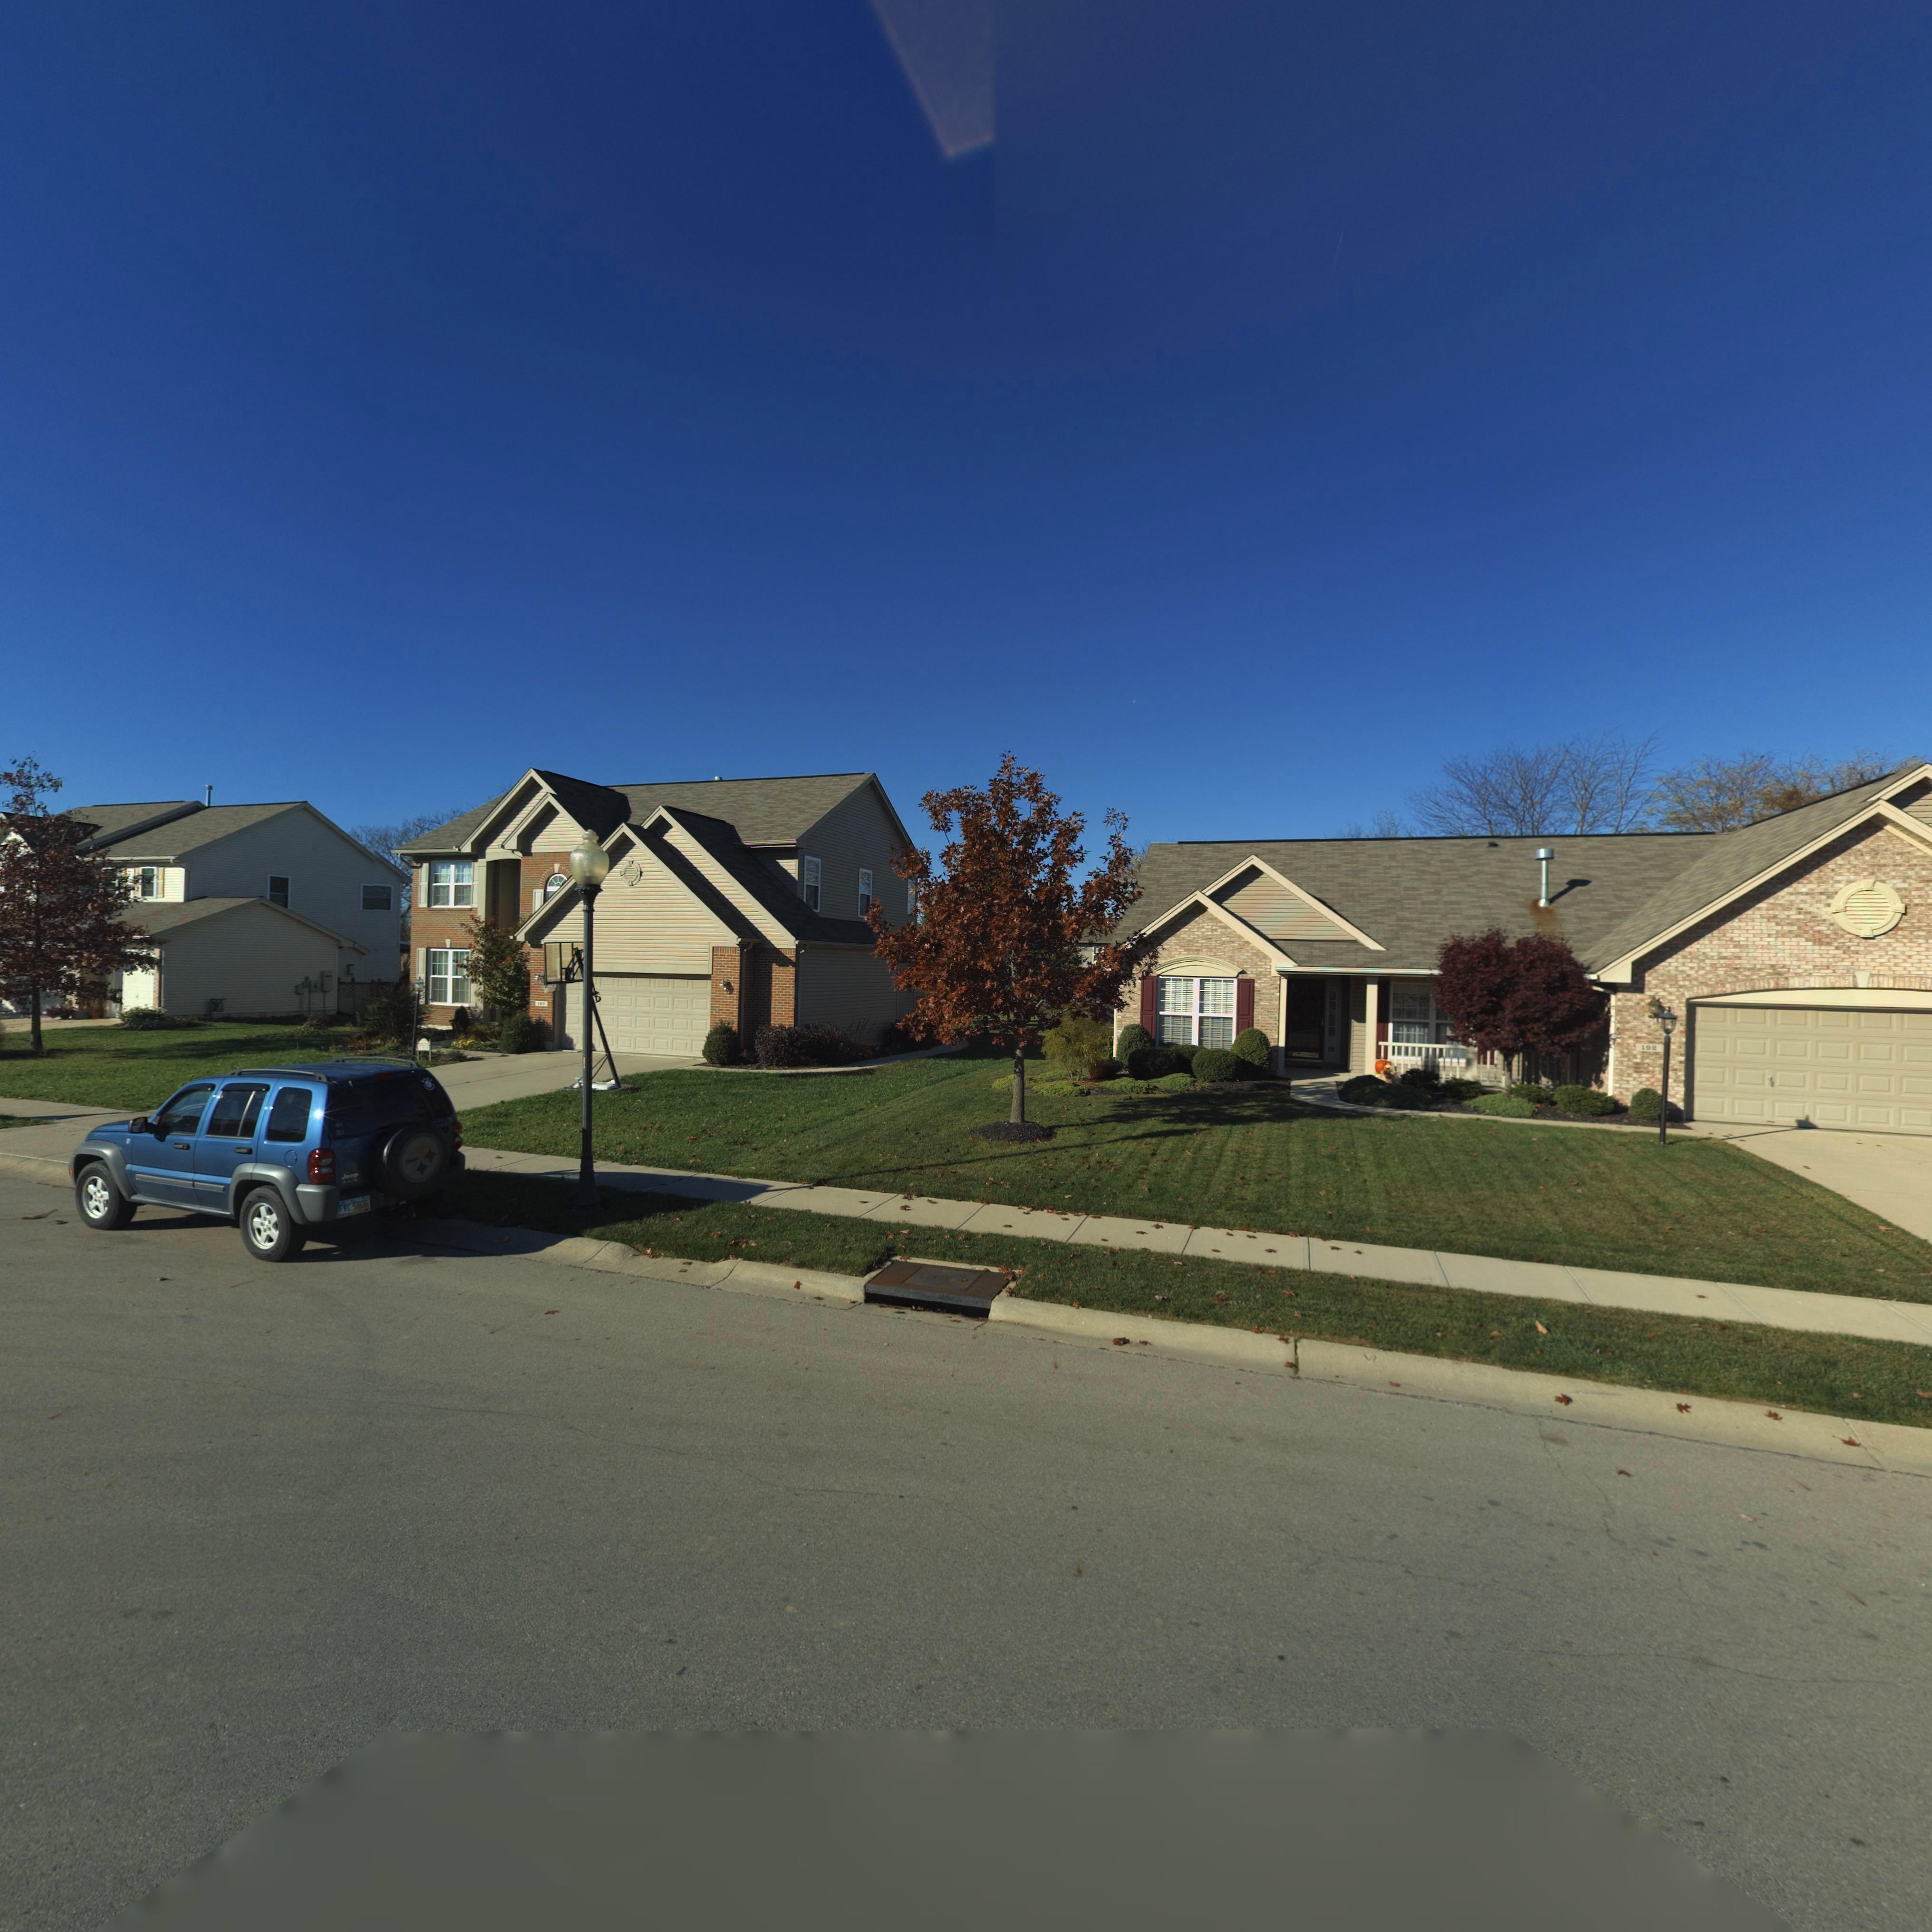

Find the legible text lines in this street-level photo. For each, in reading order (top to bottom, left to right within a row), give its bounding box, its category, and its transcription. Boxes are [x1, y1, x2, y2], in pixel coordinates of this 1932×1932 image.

[1640, 1044, 1657, 1051] StreetNumber: 192
[341, 1172, 358, 1181] None: Jeep
[338, 1198, 368, 1216] None: FVC 5606